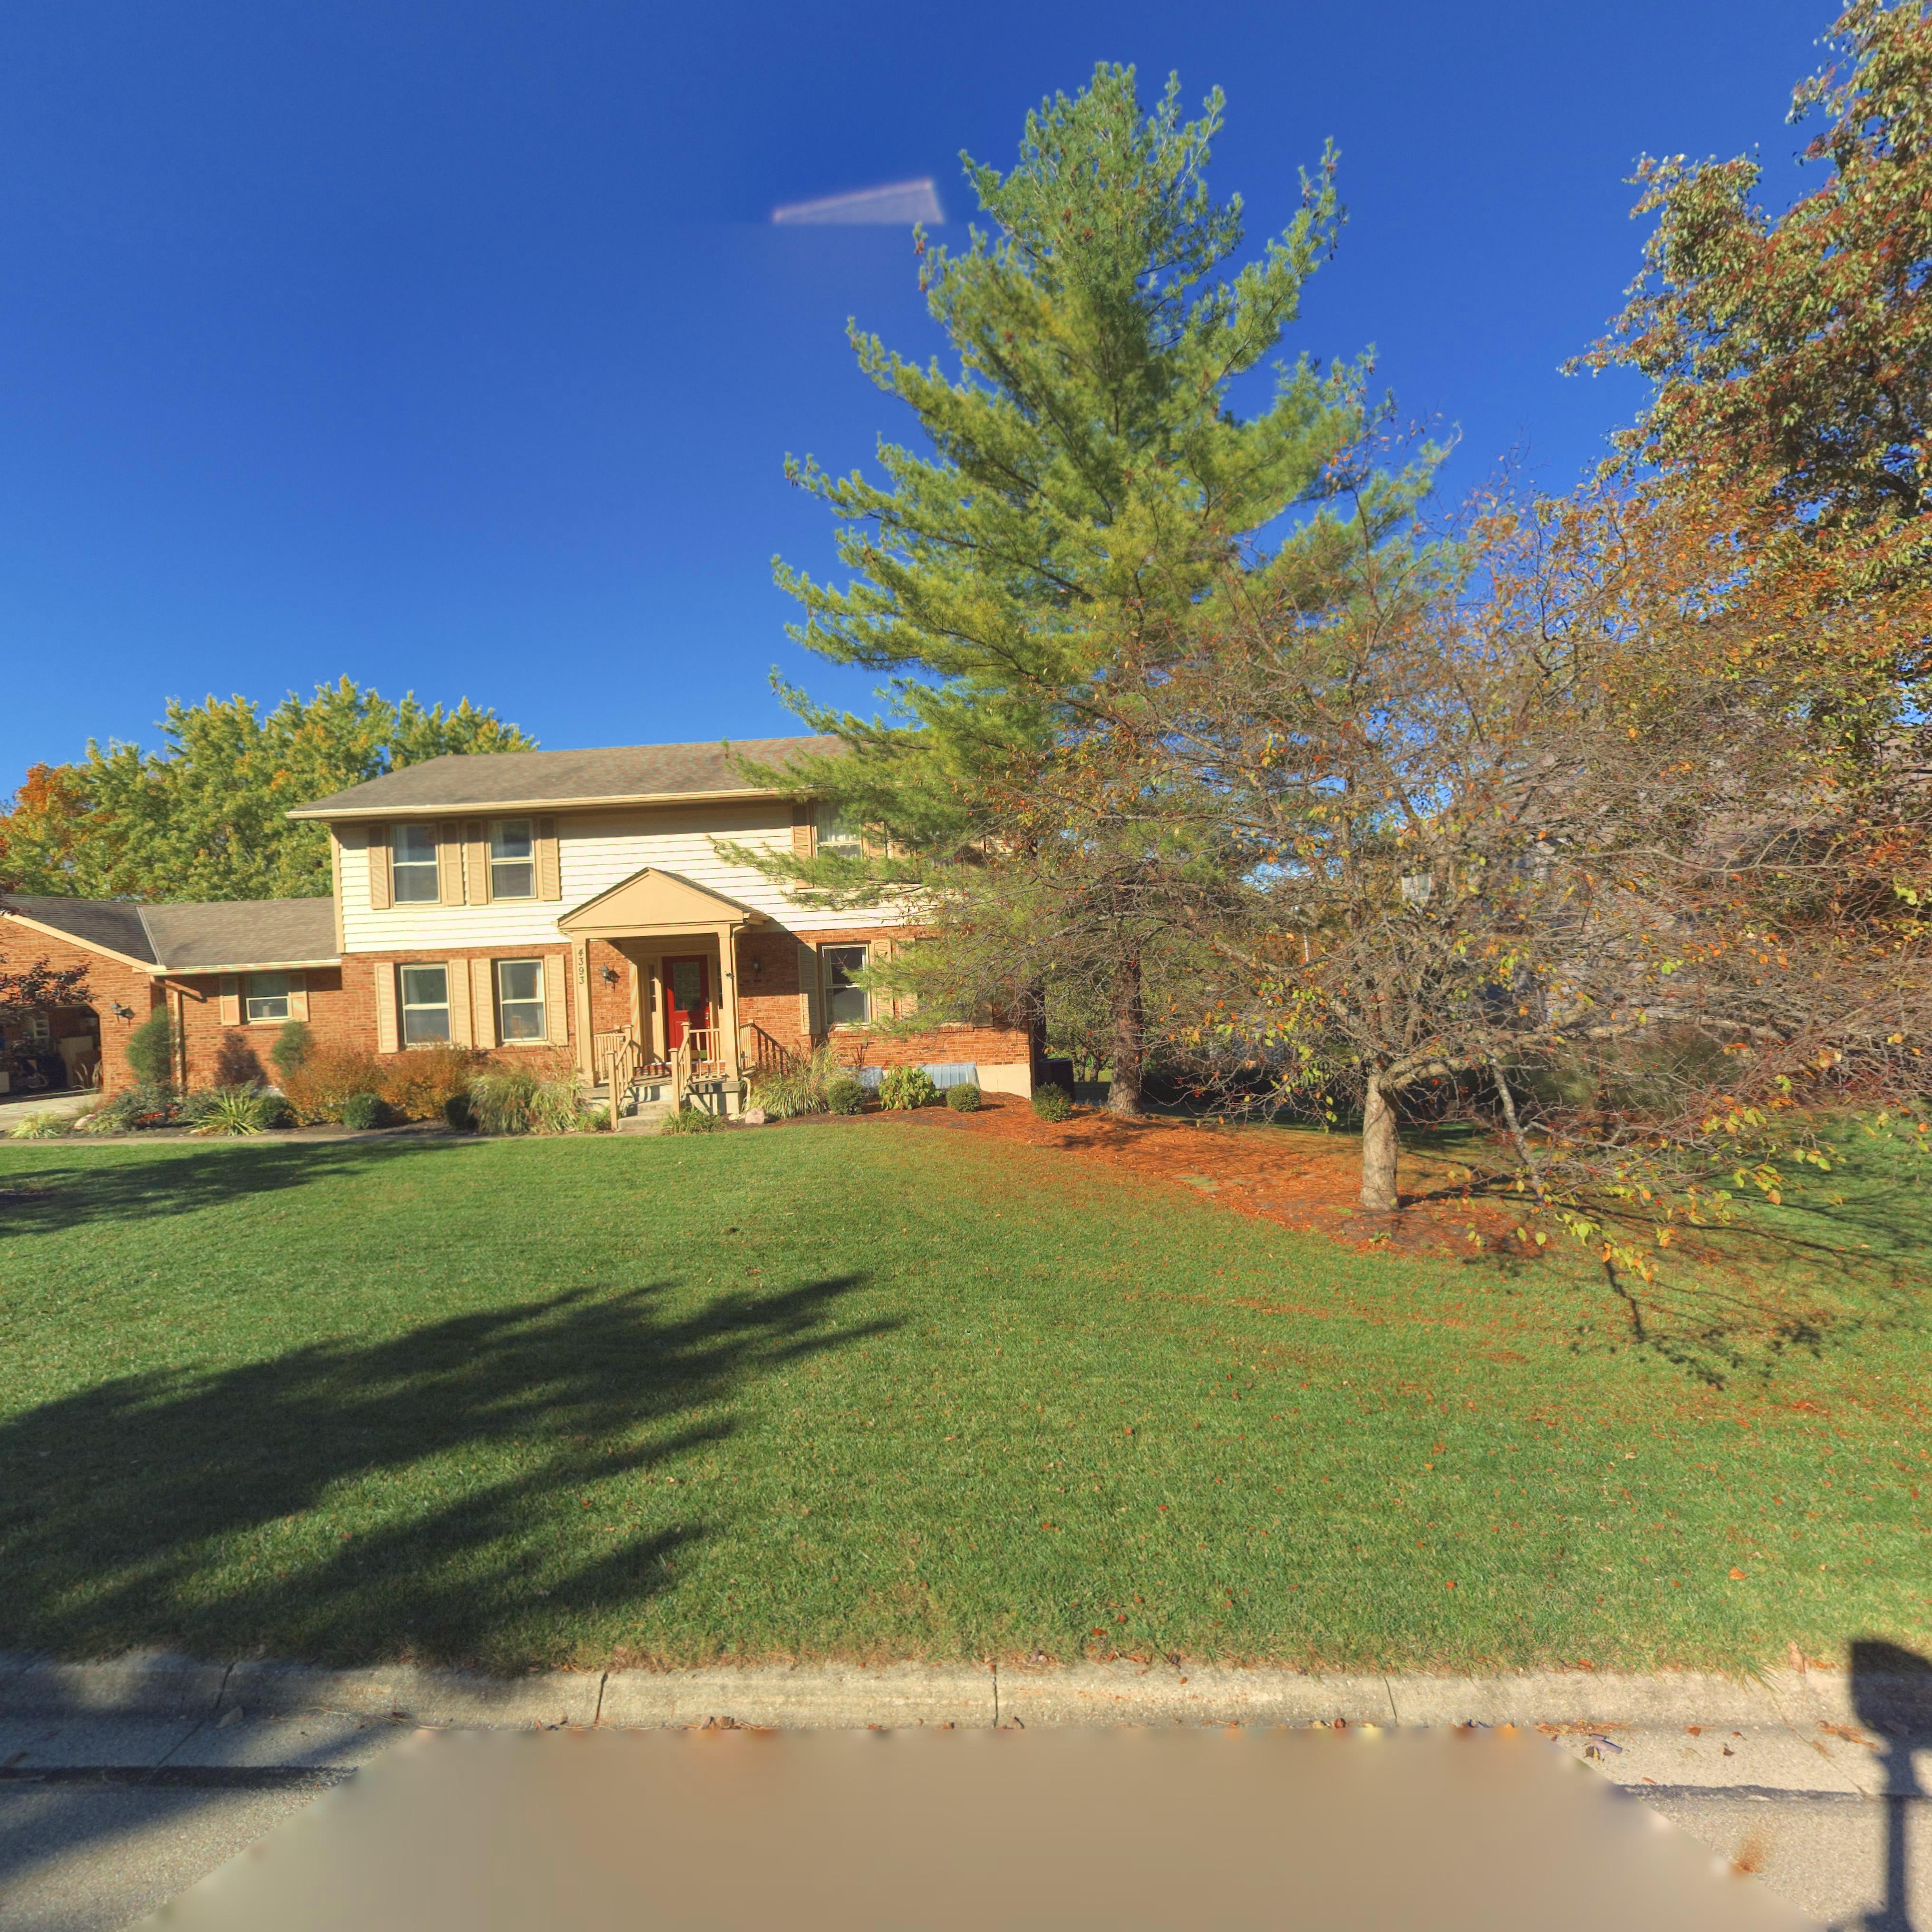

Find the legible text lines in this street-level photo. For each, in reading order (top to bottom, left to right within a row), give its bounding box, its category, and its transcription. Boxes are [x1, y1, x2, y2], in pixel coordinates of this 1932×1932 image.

[577, 947, 585, 985] StreetNumber: 4393